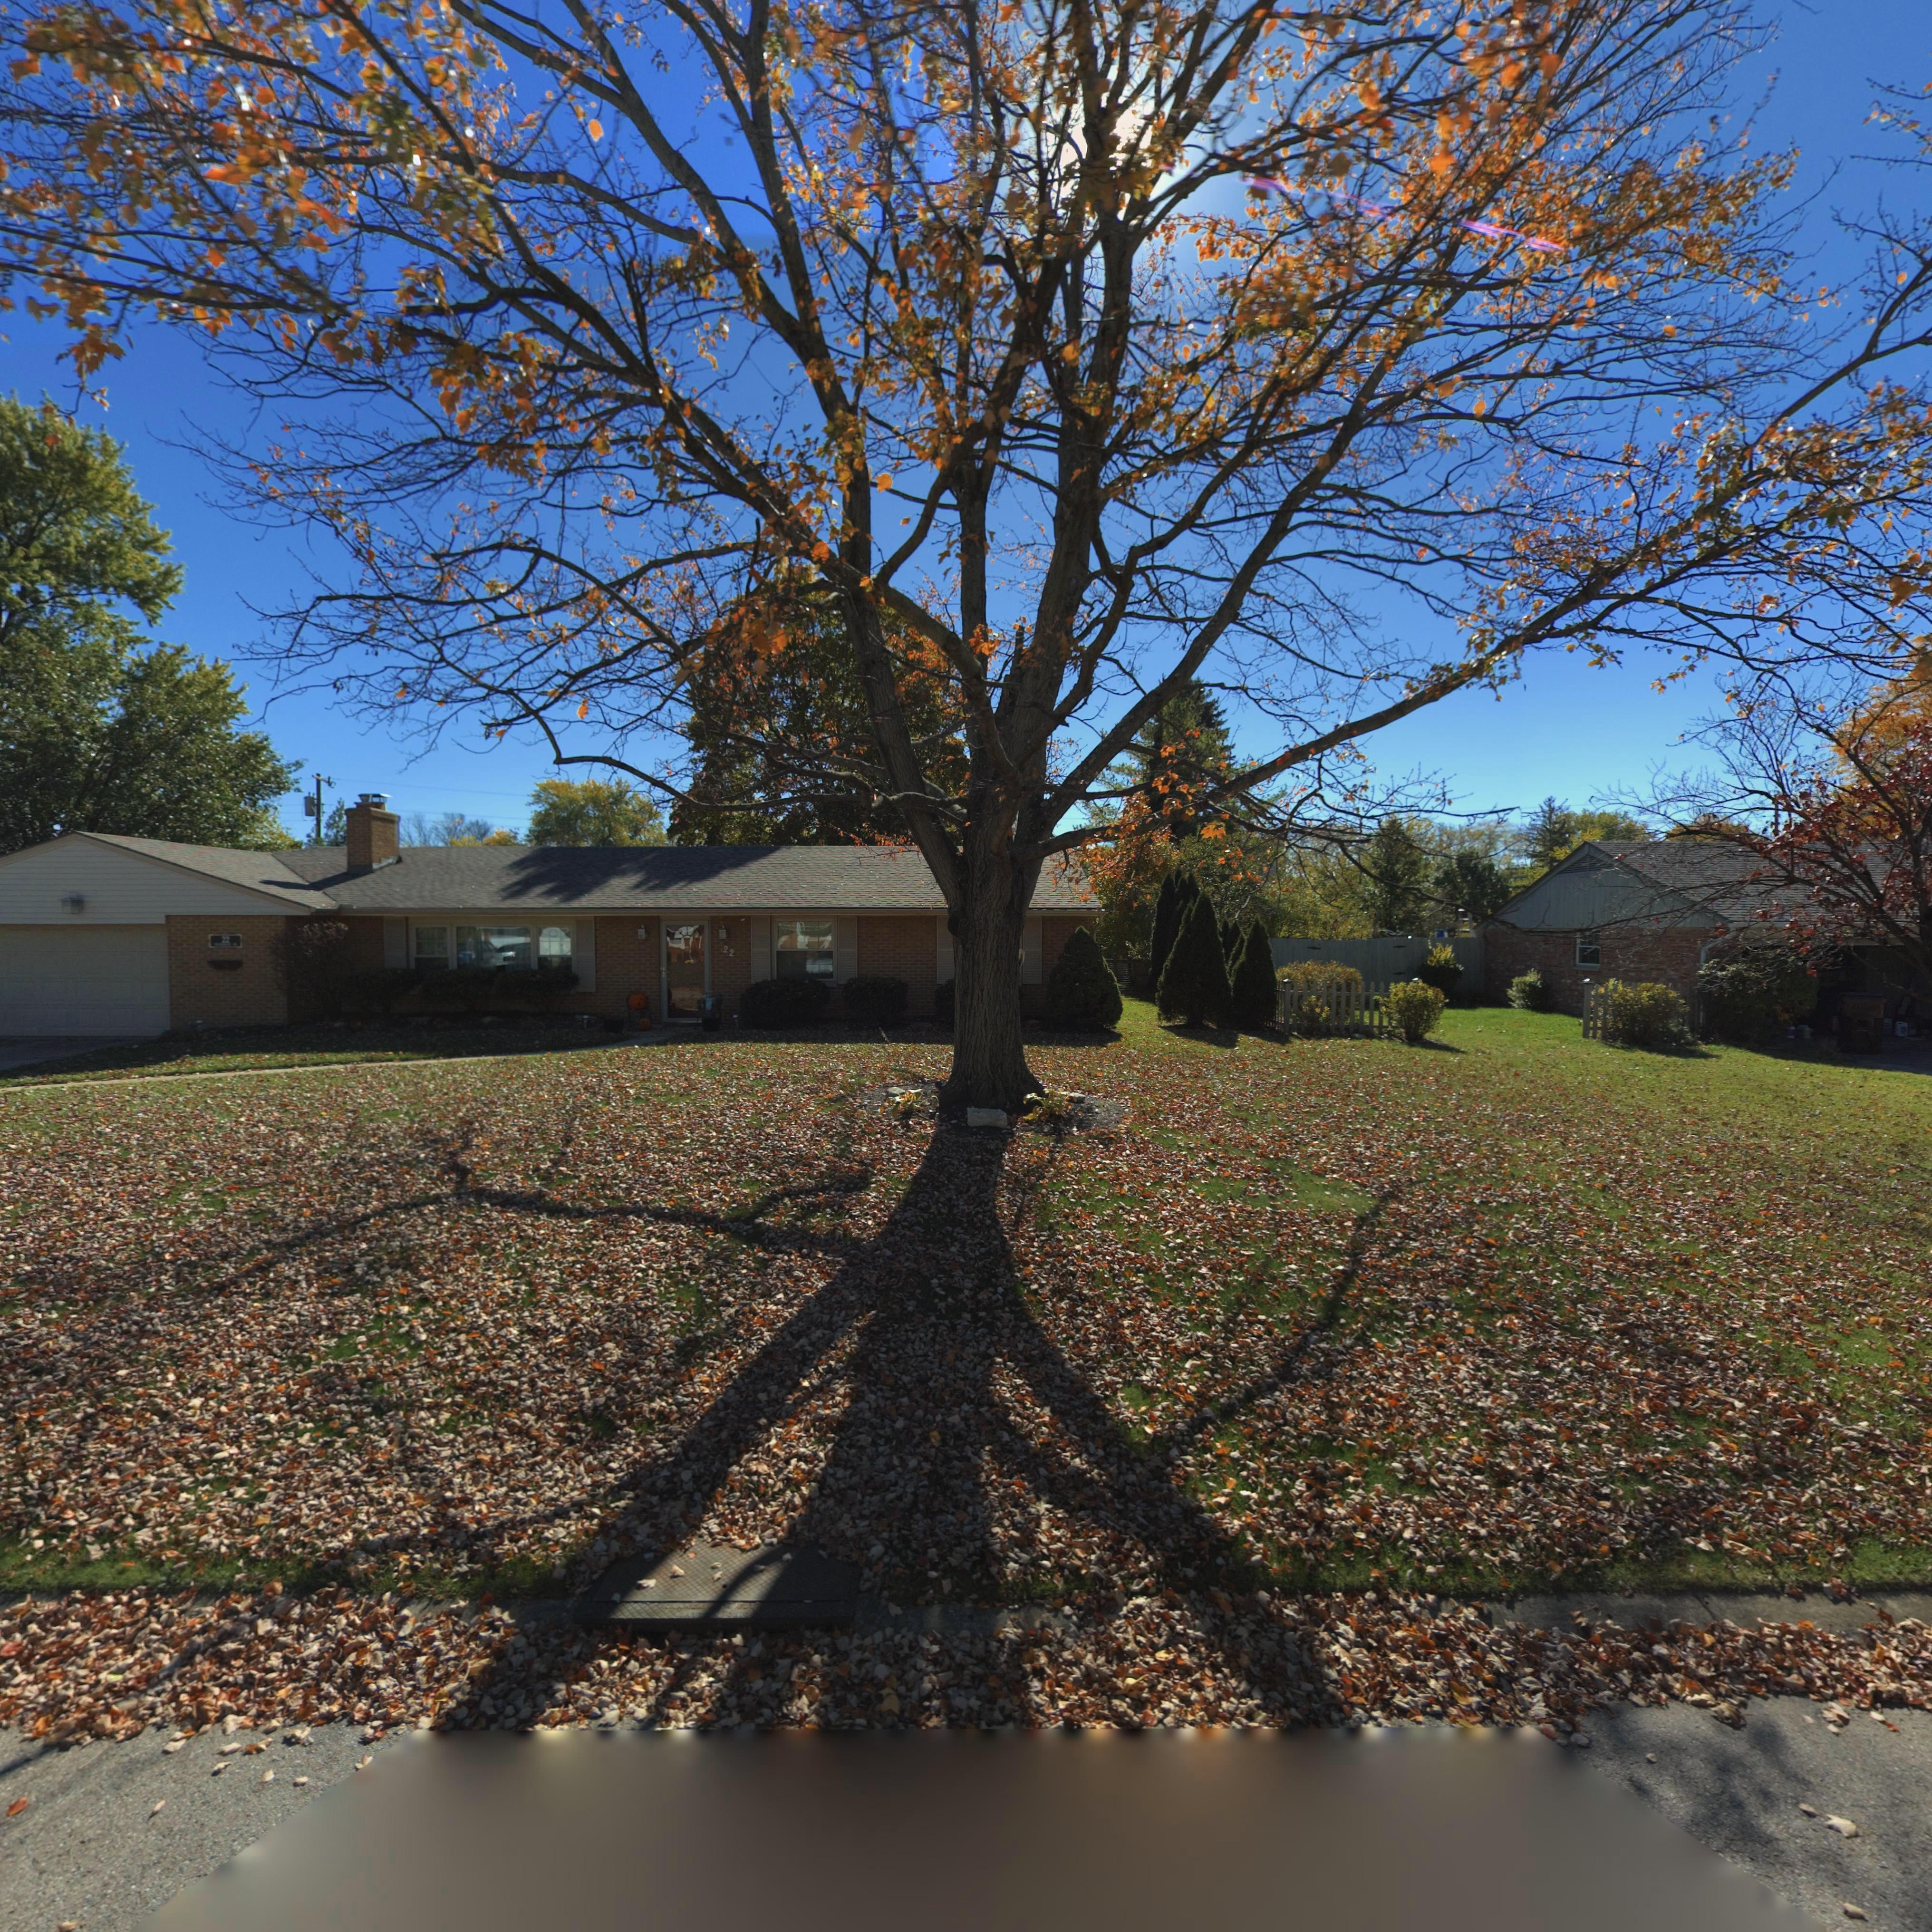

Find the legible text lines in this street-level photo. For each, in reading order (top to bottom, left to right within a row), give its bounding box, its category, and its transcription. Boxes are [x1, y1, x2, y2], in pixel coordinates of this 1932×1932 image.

[221, 936, 231, 944] StreetNumber: 22
[722, 945, 735, 958] StreetNumber: 22